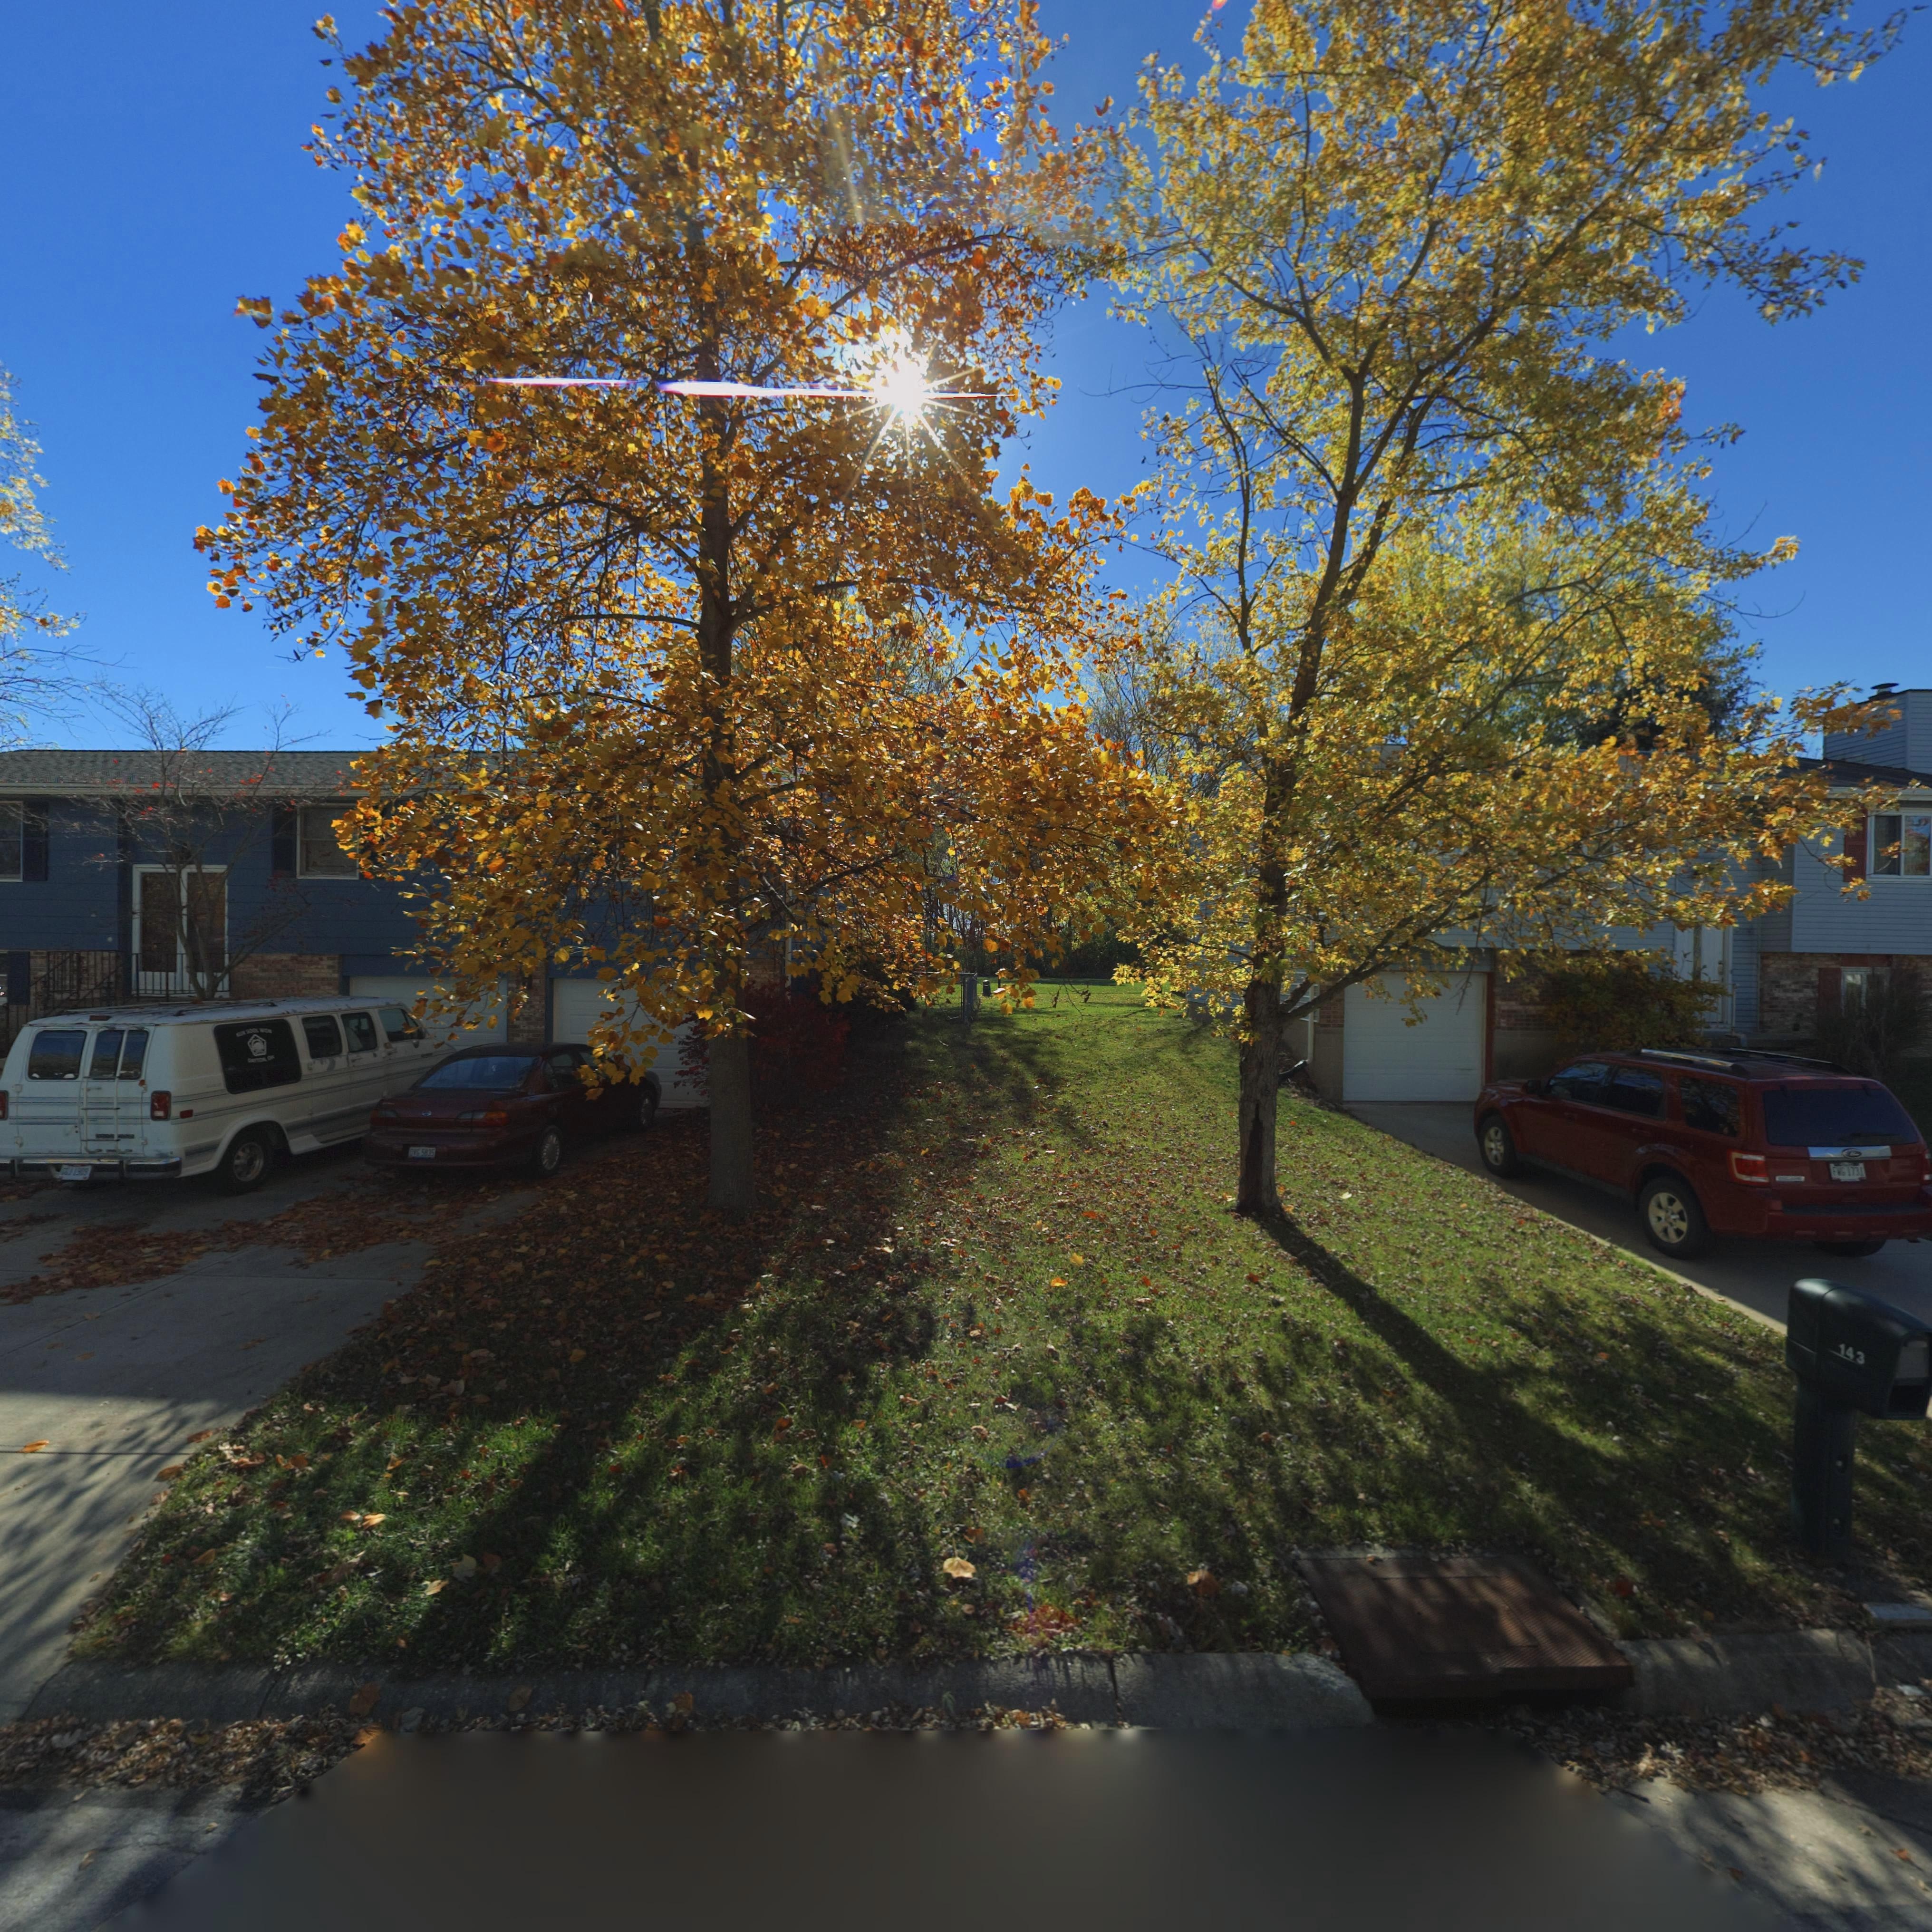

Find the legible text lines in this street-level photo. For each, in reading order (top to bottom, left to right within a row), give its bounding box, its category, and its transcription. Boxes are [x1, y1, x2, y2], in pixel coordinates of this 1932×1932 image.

[1837, 1342, 1866, 1366] StreetNumber: 143